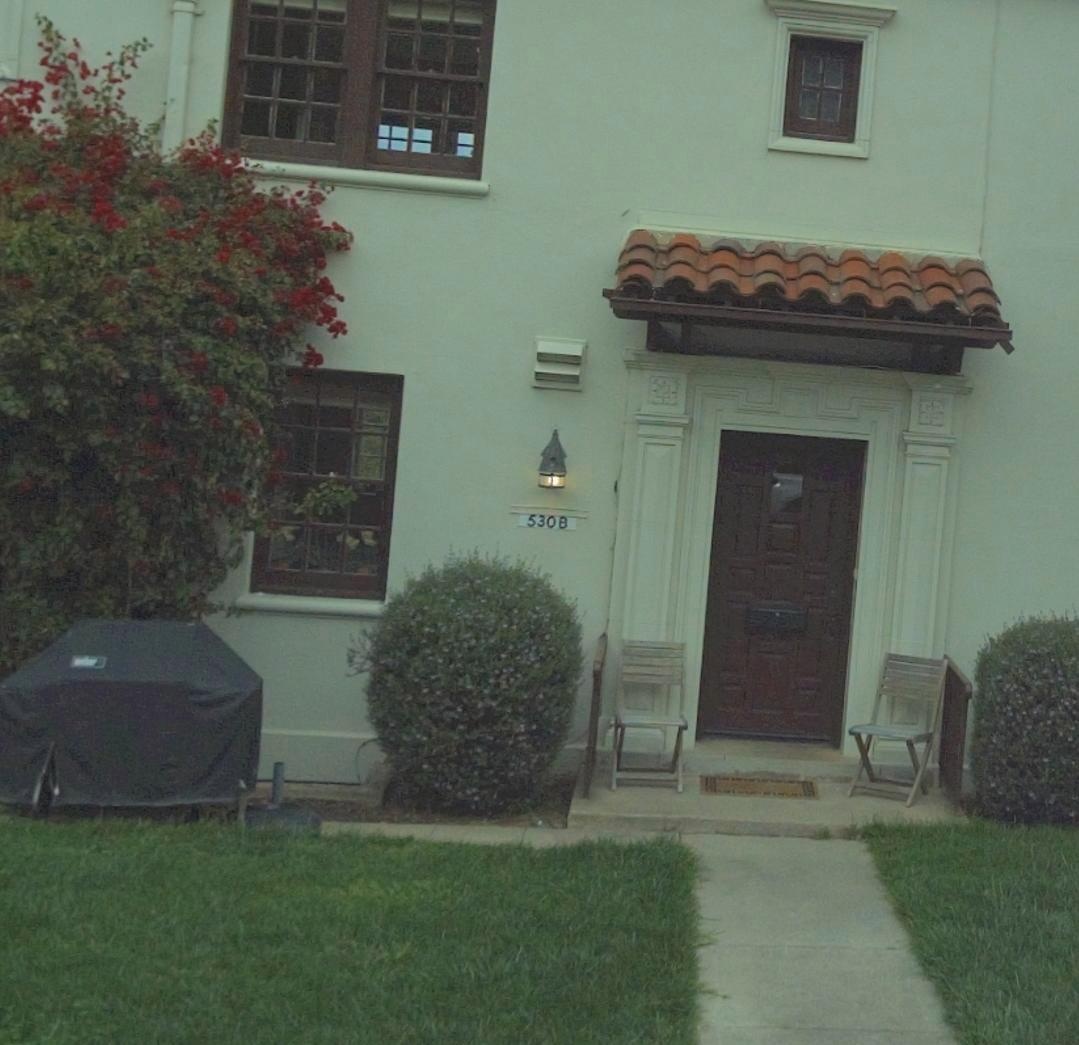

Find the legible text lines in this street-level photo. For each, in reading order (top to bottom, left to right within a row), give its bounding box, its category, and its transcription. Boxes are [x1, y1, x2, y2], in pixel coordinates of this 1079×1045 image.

[527, 514, 568, 530] StreetNumber: 530B